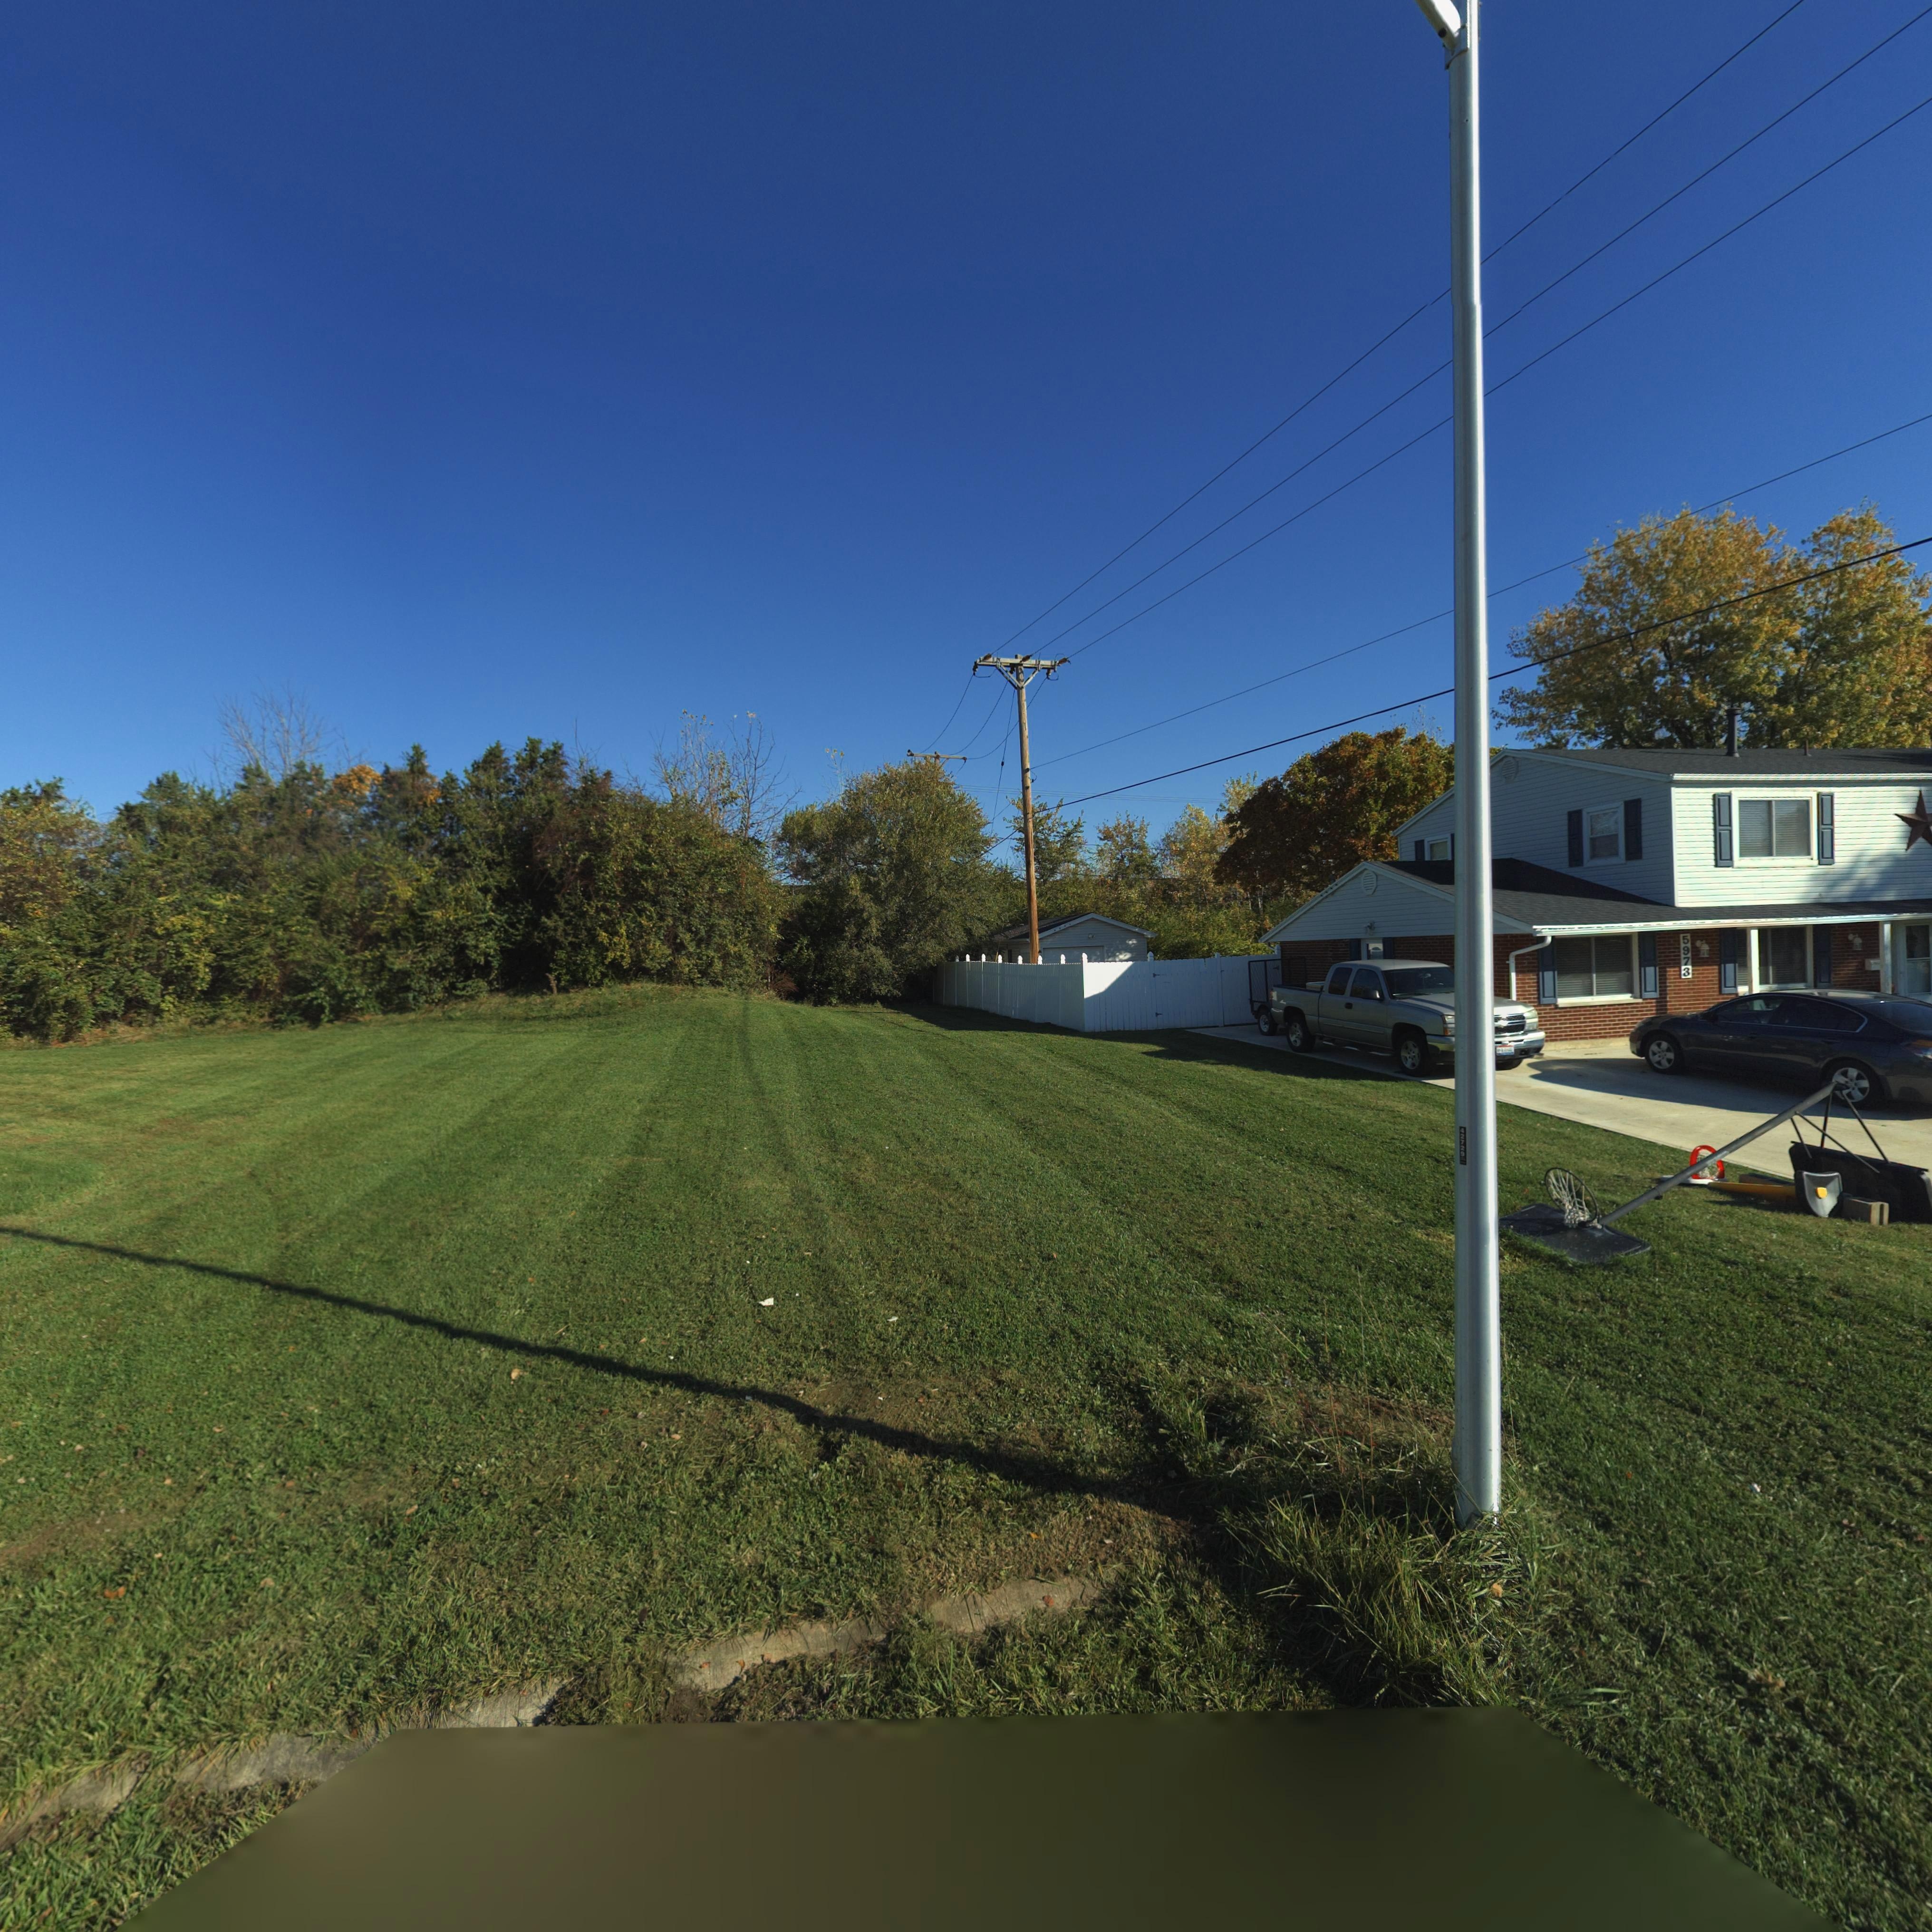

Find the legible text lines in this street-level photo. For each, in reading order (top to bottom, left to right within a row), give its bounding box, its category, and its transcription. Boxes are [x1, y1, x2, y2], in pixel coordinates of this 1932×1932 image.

[1681, 934, 1692, 979] StreetNumber: 5973